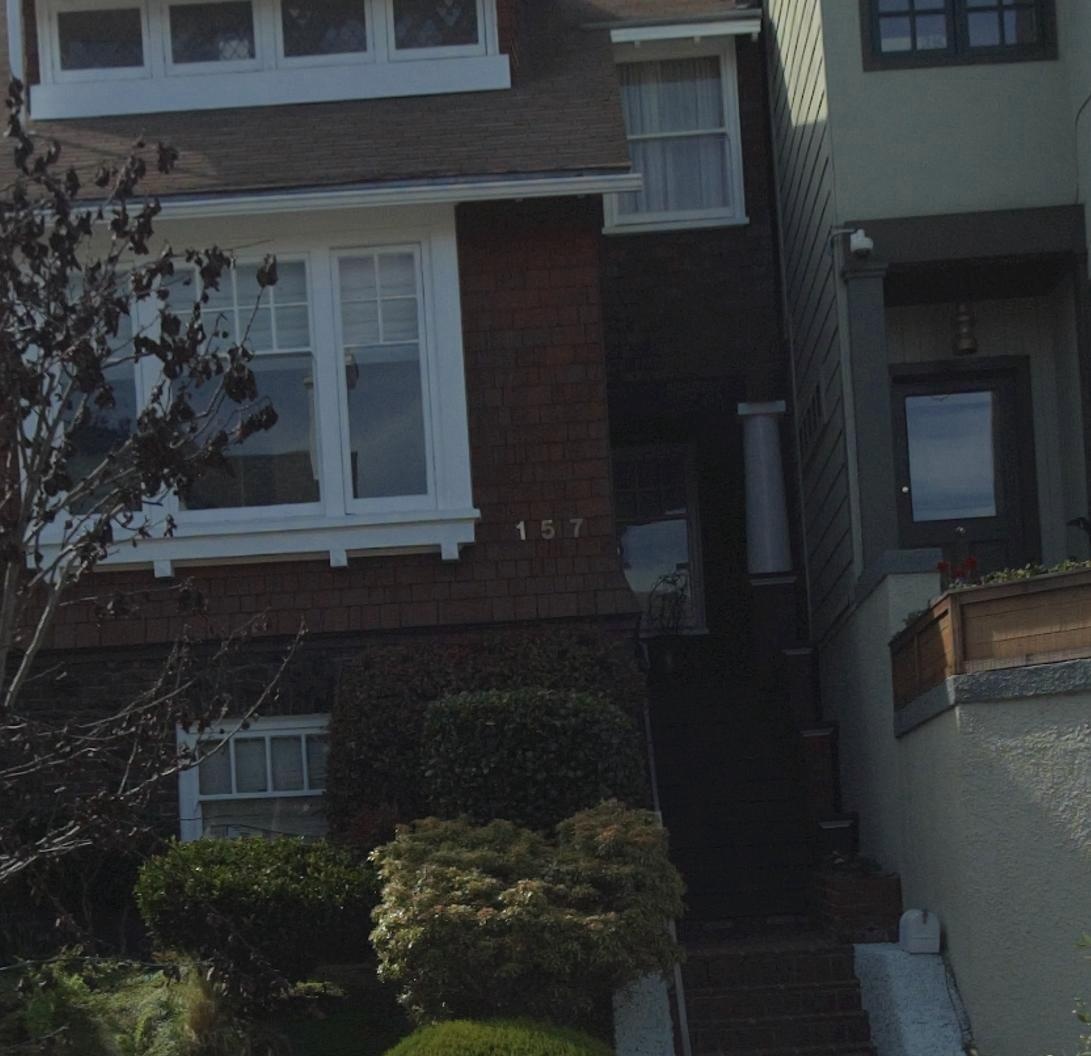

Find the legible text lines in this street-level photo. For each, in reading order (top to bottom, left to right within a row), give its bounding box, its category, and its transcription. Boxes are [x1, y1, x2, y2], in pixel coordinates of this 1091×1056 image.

[513, 515, 586, 543] StreetNumber: 157